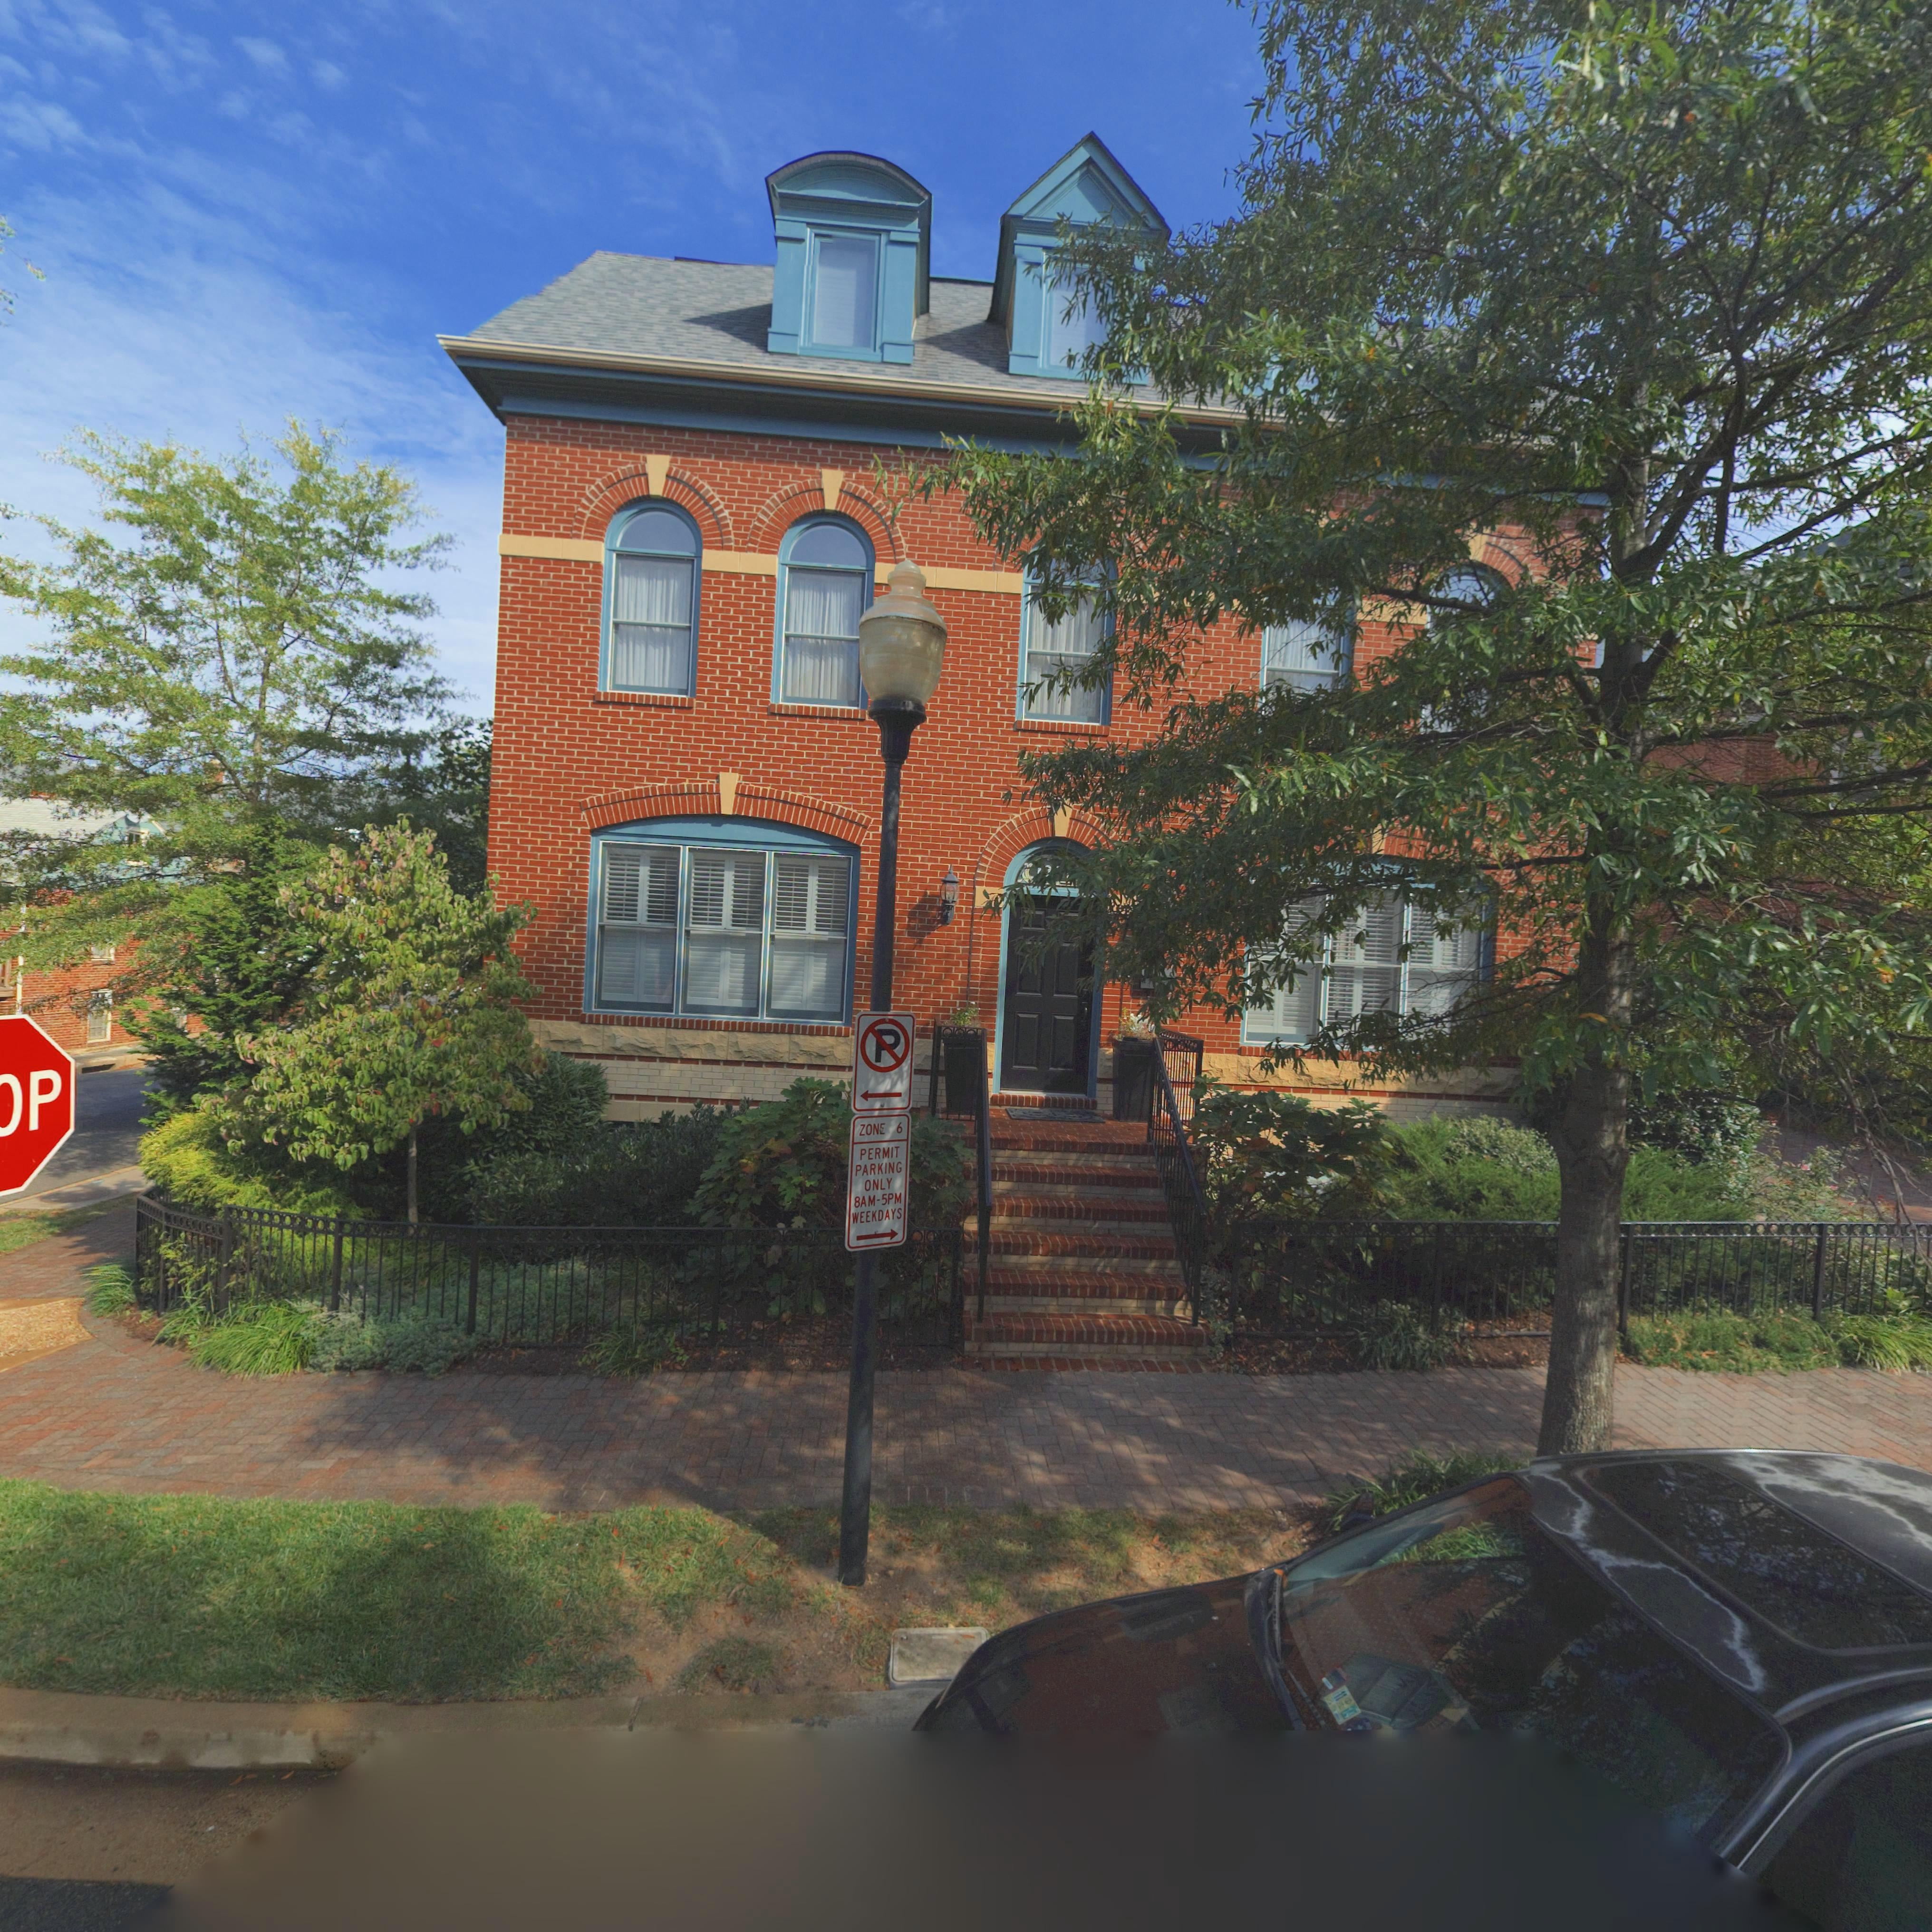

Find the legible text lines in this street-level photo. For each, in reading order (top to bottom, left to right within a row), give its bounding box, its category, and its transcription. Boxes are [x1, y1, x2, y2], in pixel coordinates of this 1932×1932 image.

[28, 1068, 64, 1133] None: P
[858, 1121, 905, 1137] None: ZON* 6
[859, 1145, 901, 1162] None: PERMIT
[854, 1160, 903, 1178] None: PARKING
[863, 1176, 893, 1193] None: ONLY
[853, 1190, 903, 1210] None: 8AM-5PM
[850, 1206, 903, 1225] None: WEEKDAYS